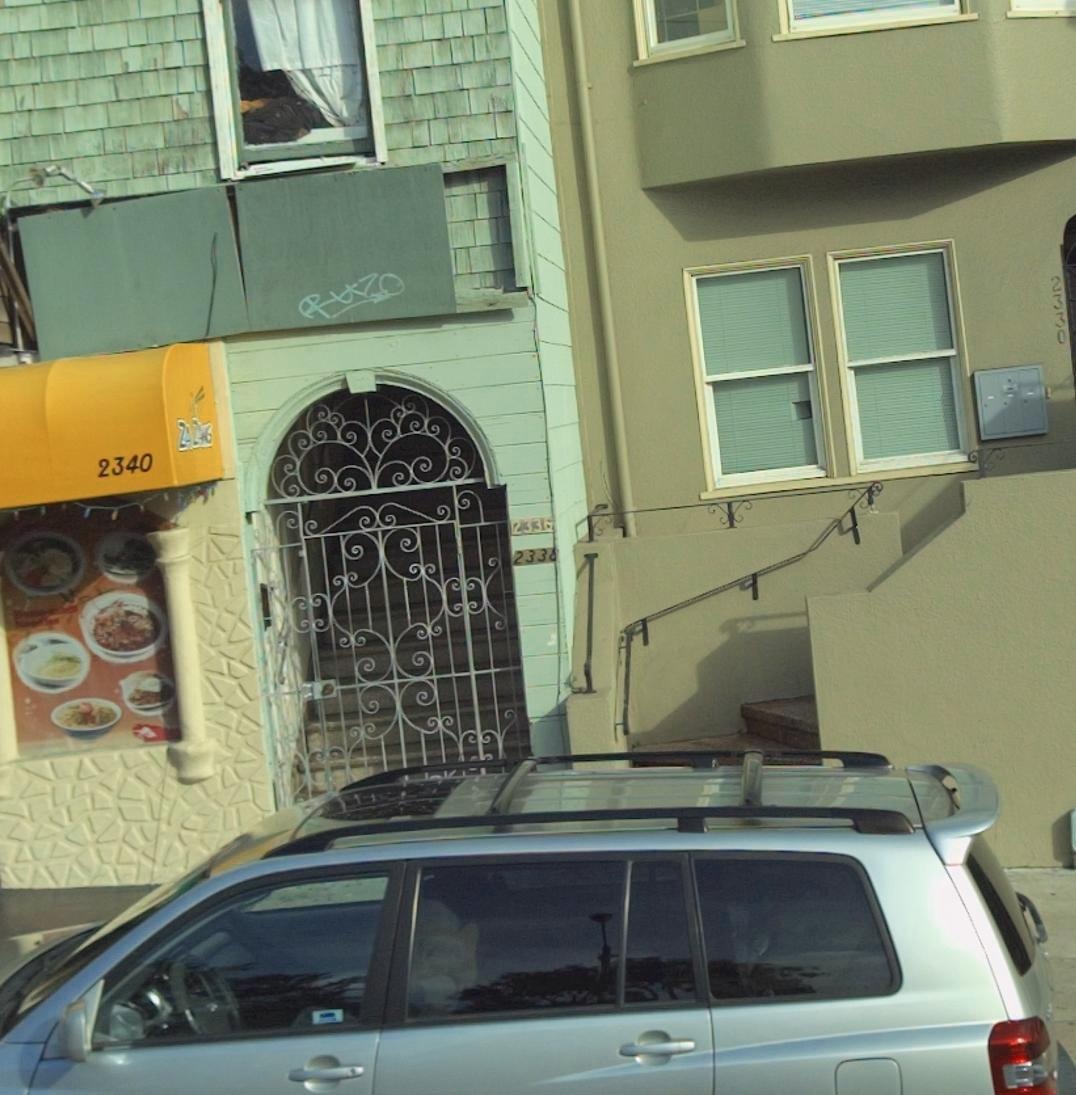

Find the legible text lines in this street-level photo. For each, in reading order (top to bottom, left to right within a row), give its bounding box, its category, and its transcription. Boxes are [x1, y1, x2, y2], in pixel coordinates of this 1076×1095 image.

[1047, 272, 1069, 348] StreetNumber: 2330
[175, 416, 198, 456] BusinessName: ZA
[96, 449, 155, 482] StreetNumber: 2340
[511, 513, 555, 538] StreetNumber: 2336
[510, 545, 558, 567] StreetNumber: 233*